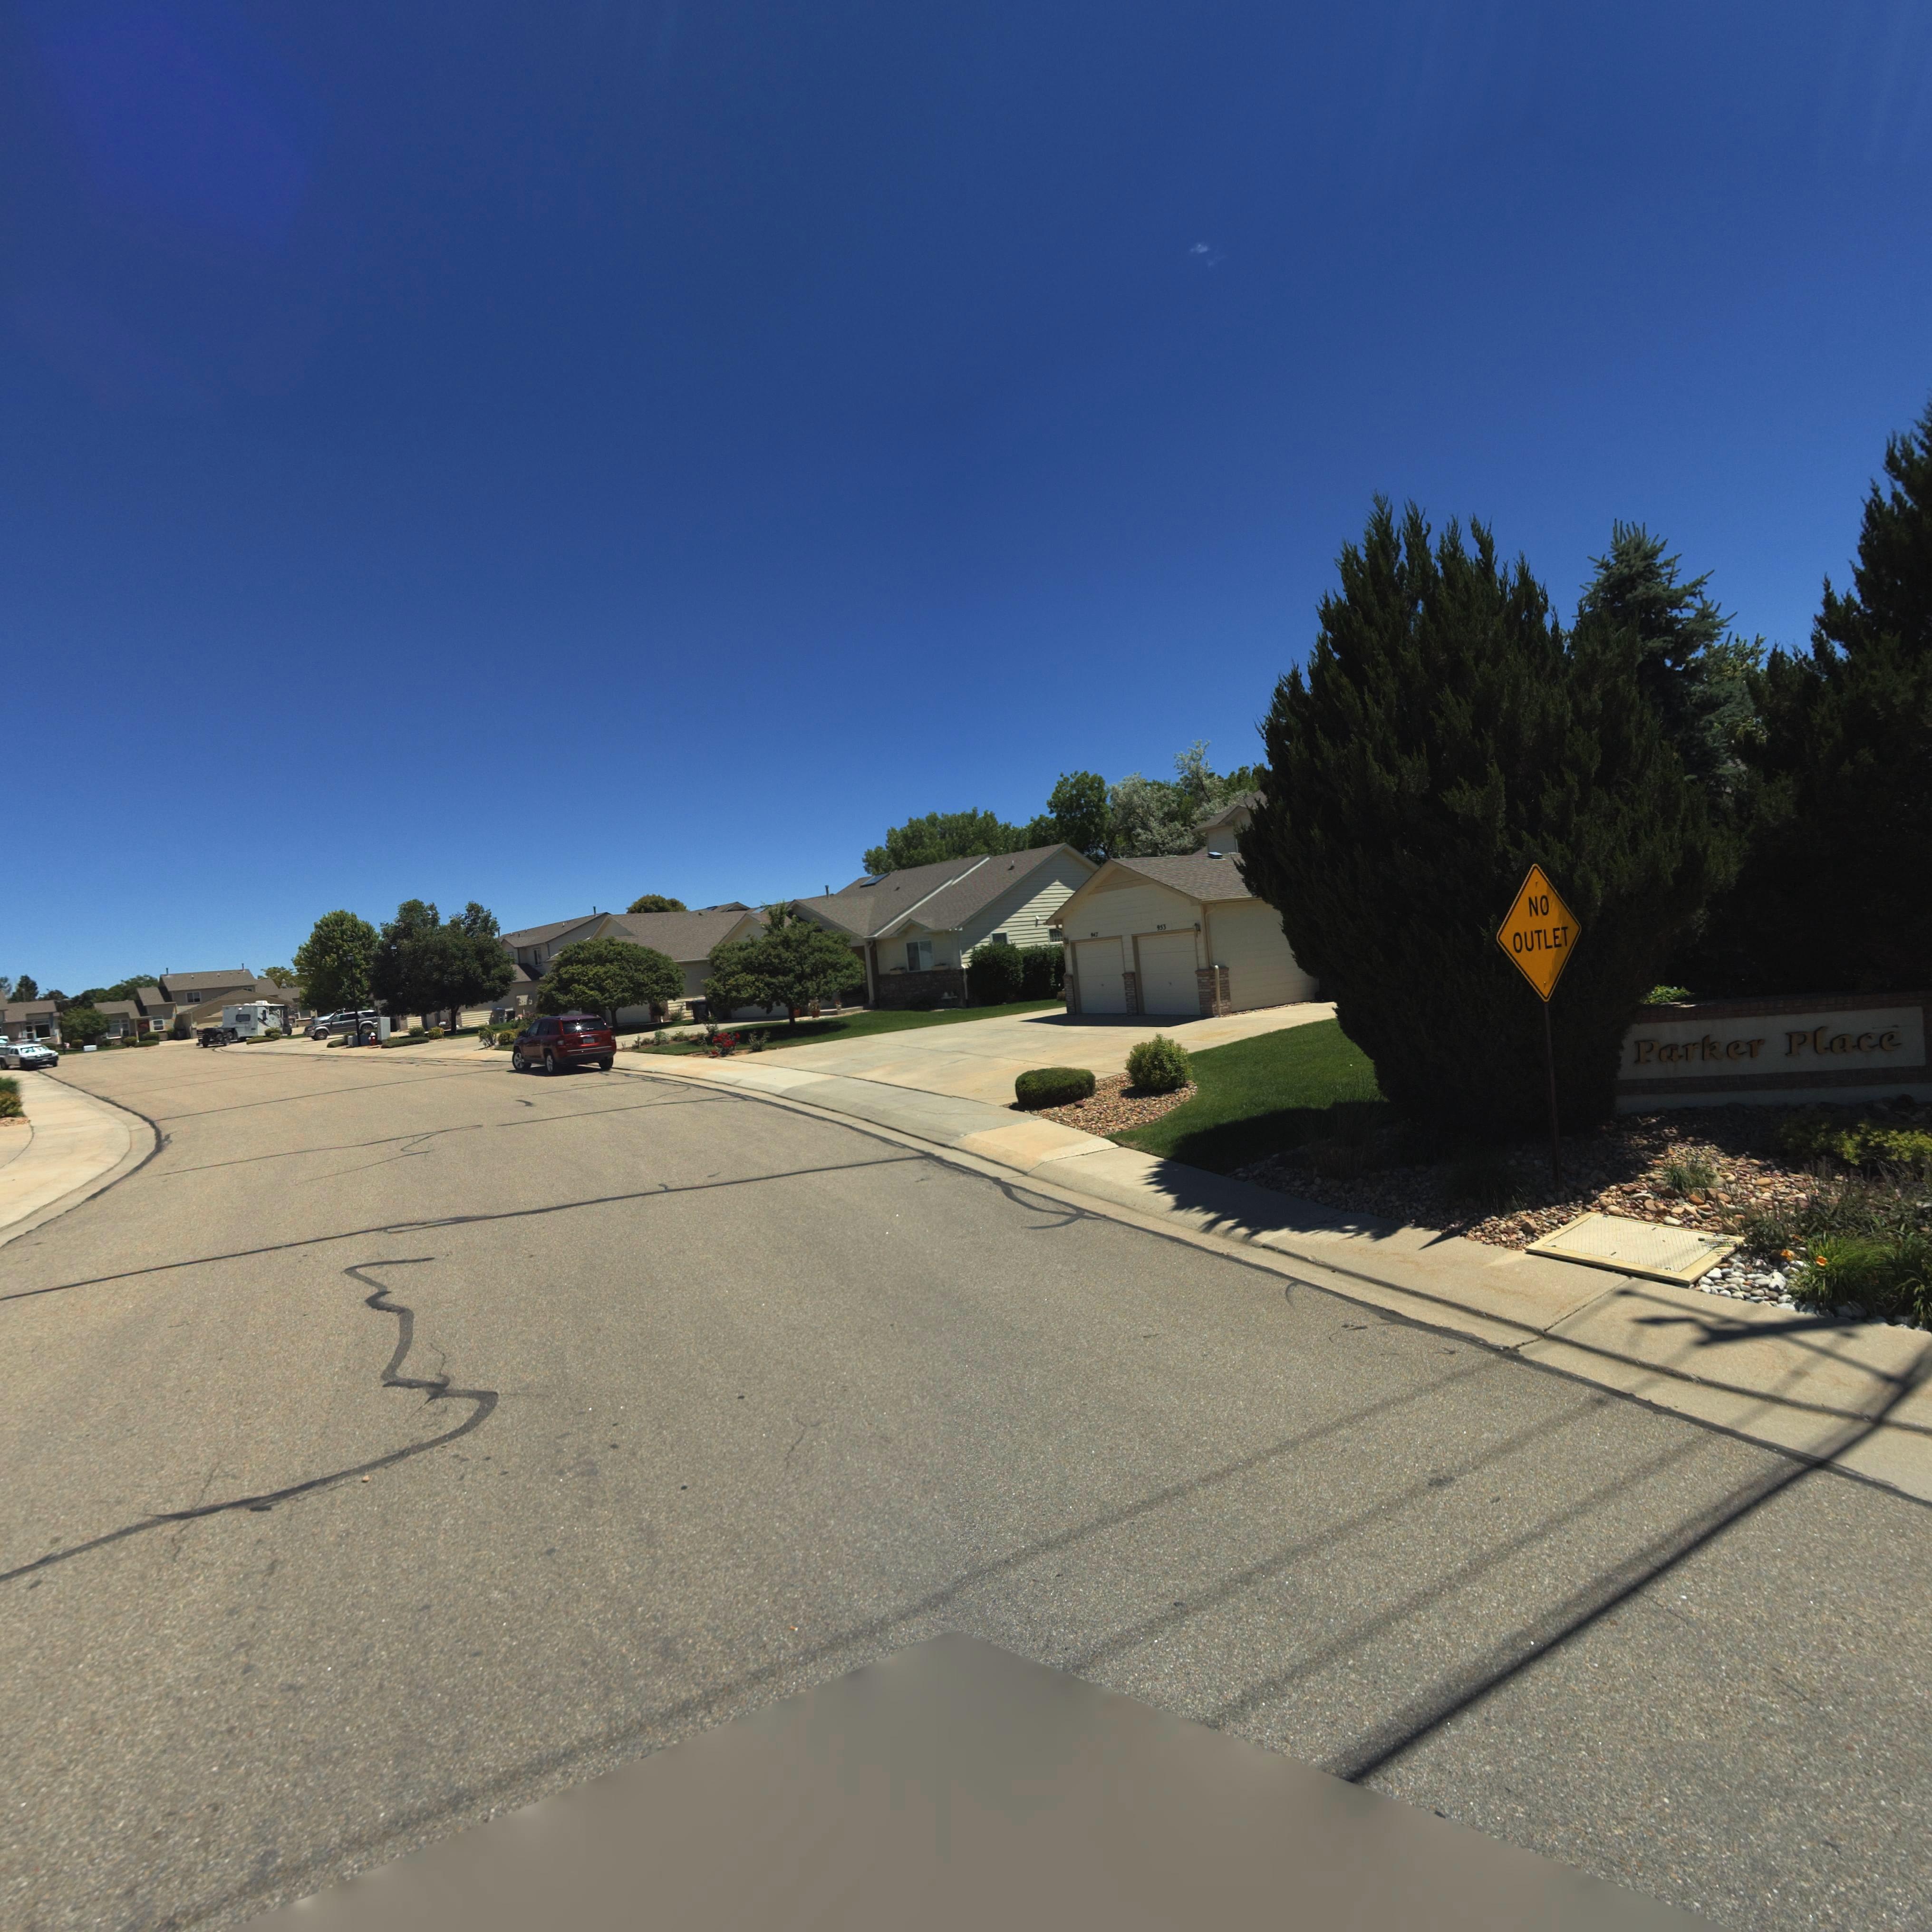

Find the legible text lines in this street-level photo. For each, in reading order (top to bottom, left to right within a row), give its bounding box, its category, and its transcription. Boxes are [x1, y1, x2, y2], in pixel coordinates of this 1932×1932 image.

[1156, 923, 1166, 931] StreetNumber: 953
[1090, 931, 1098, 938] StreetNumber: 947